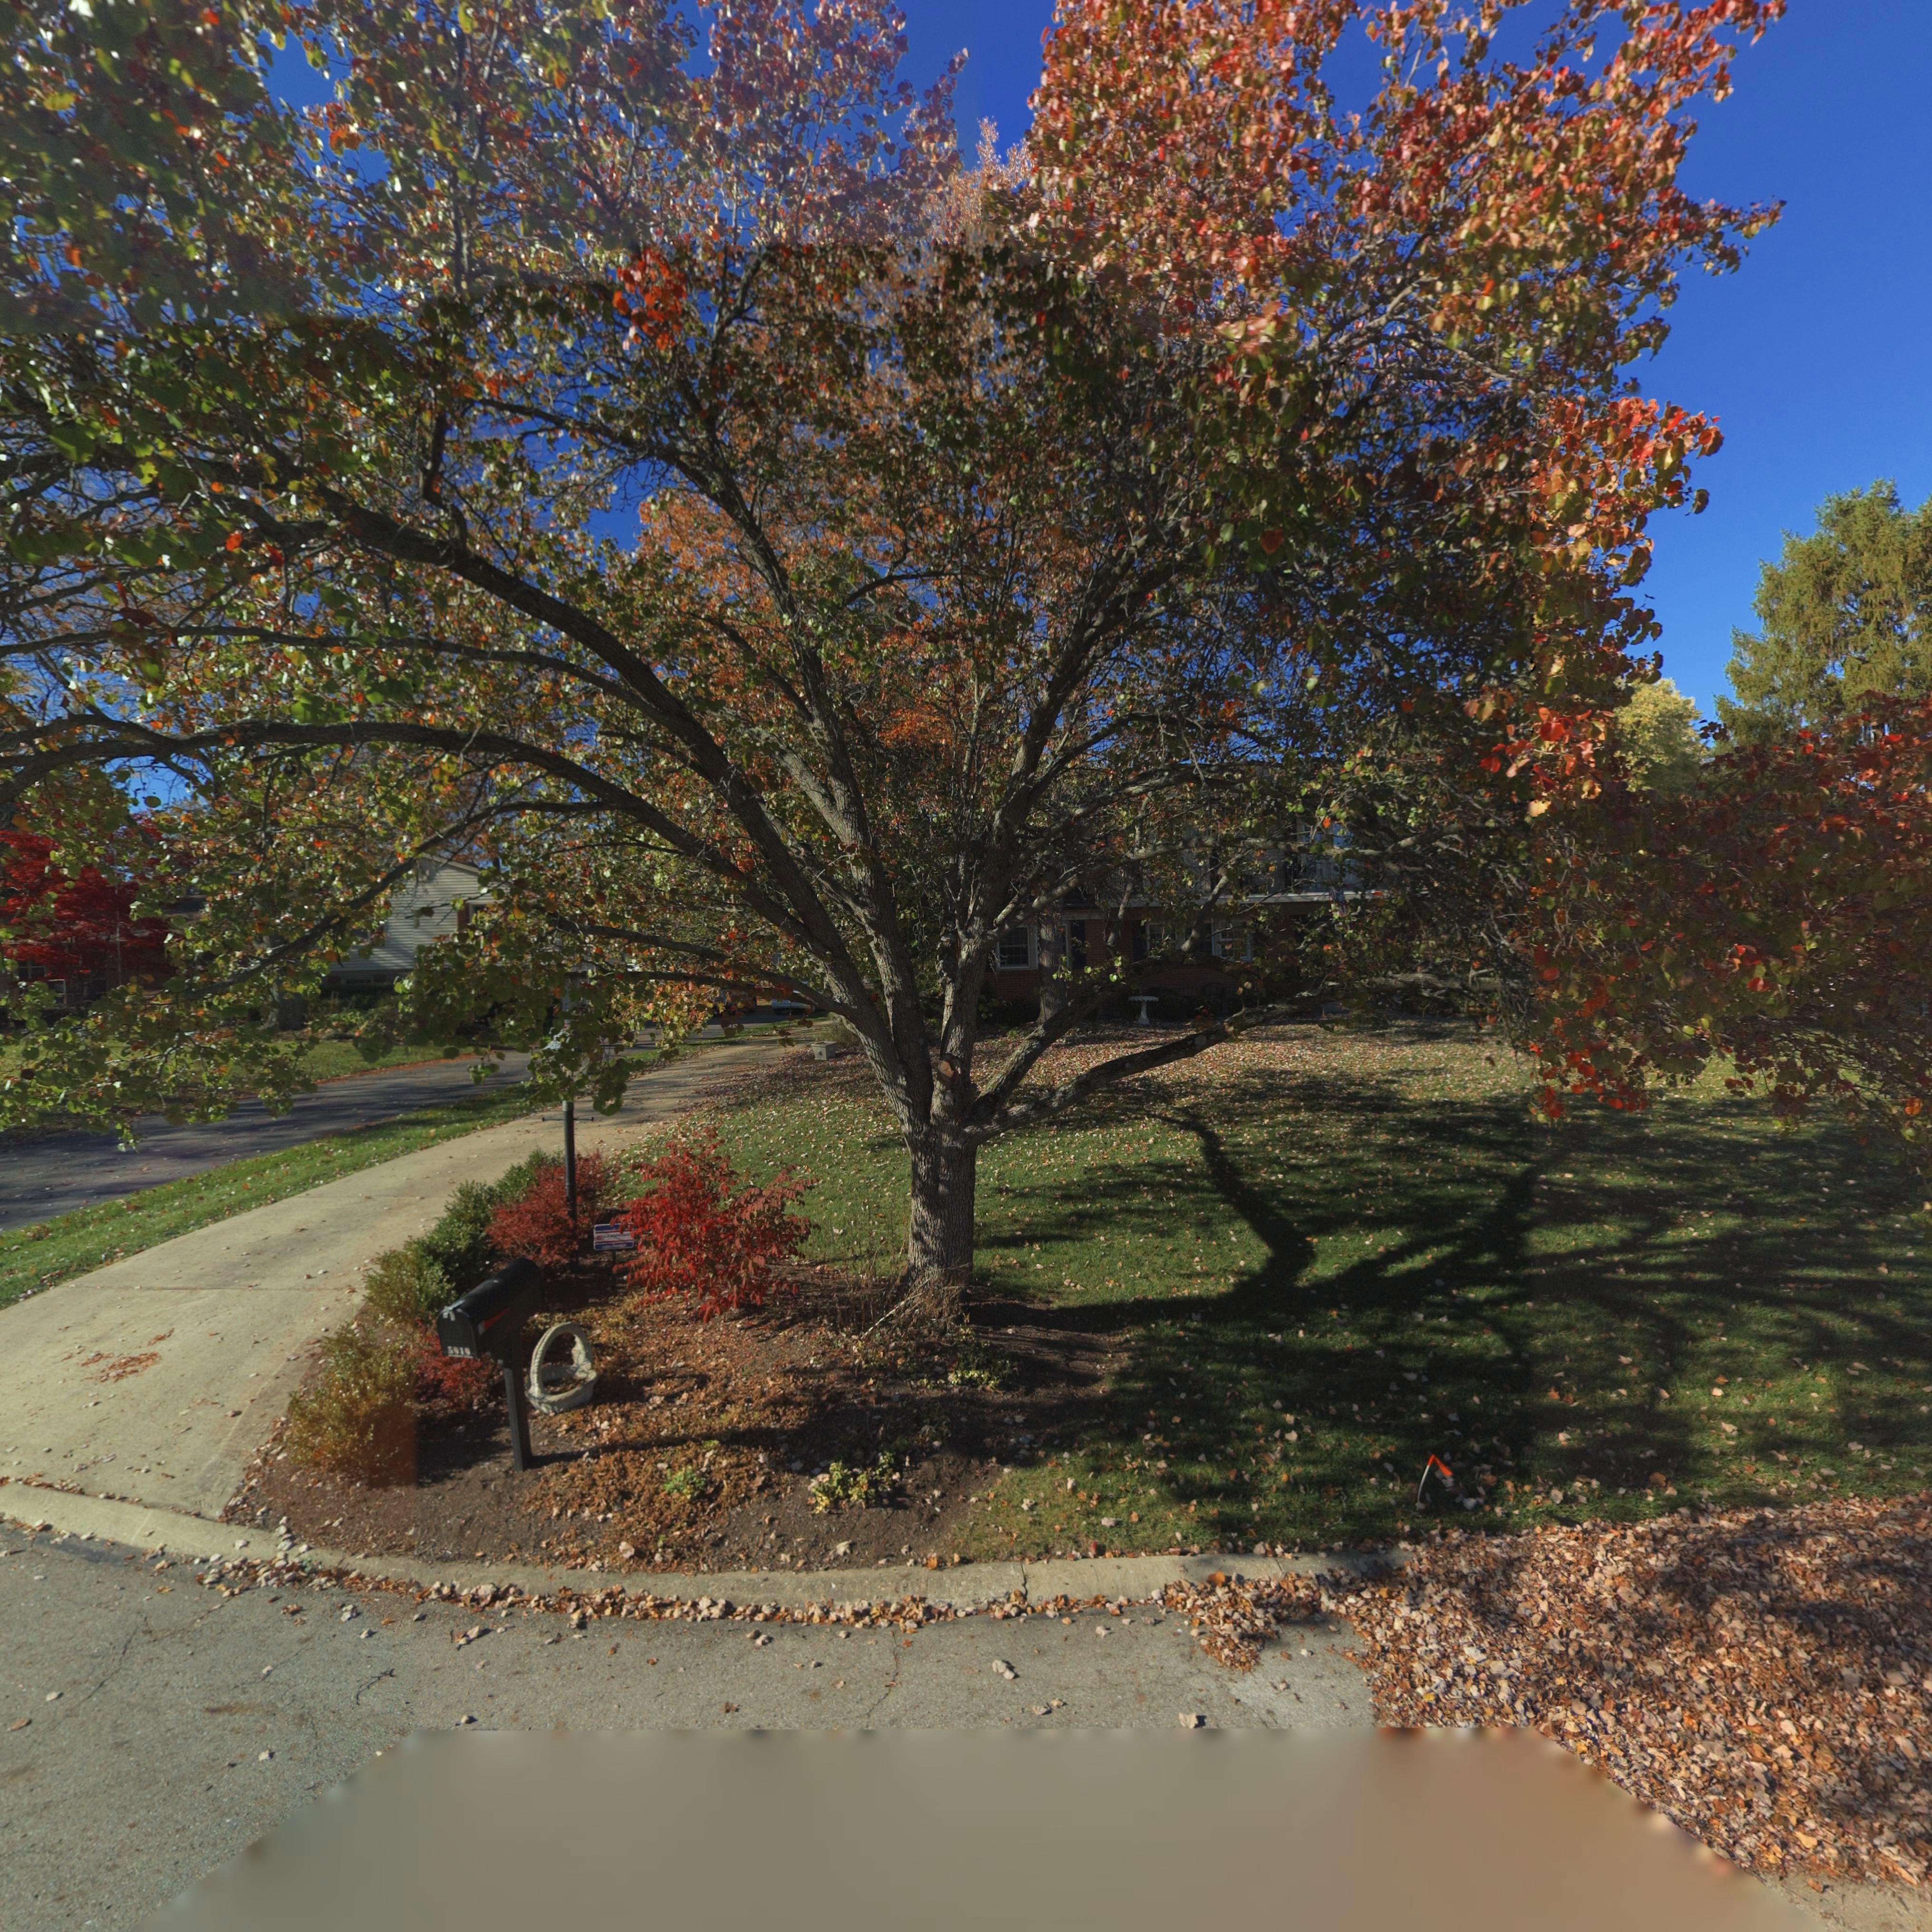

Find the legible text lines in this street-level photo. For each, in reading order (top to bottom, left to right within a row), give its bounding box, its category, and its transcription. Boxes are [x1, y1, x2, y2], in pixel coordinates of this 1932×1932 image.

[447, 1345, 471, 1356] StreetNumber: 5919